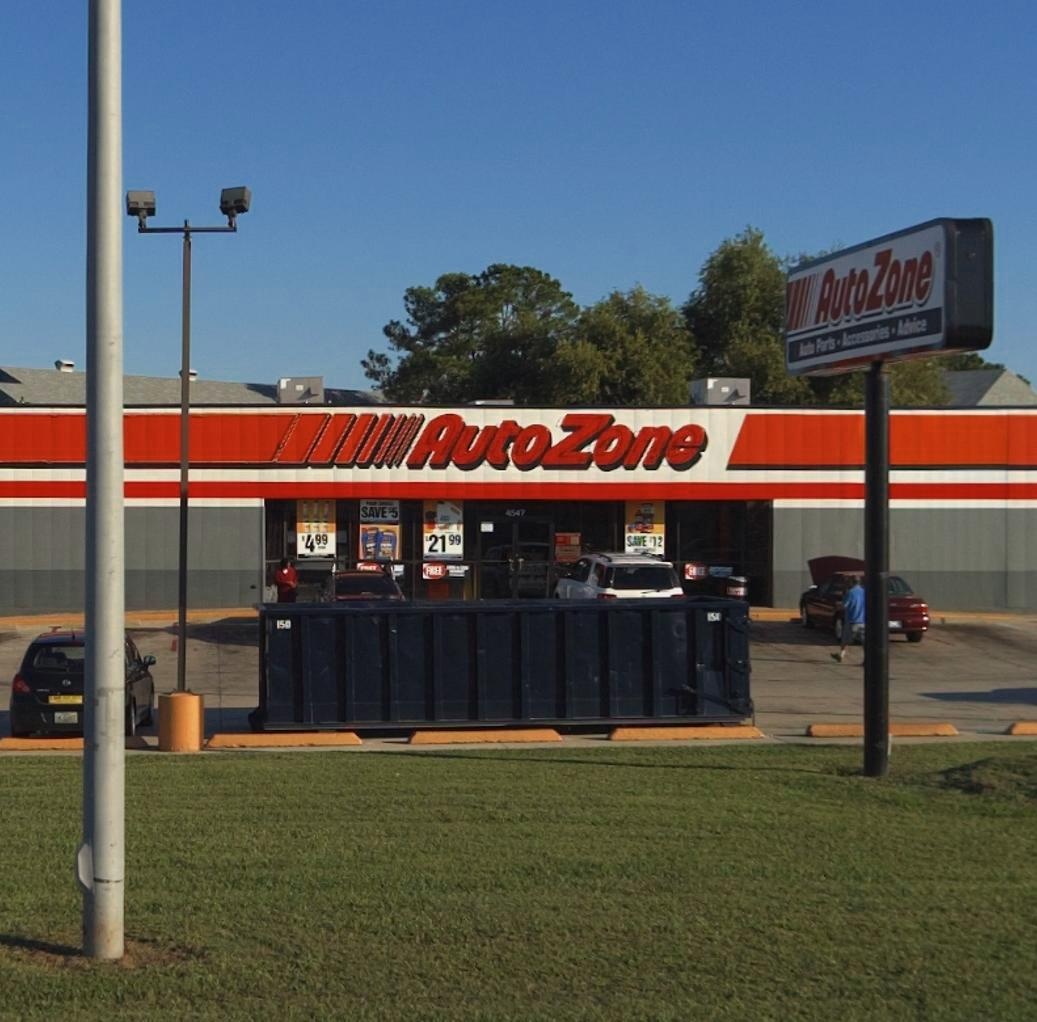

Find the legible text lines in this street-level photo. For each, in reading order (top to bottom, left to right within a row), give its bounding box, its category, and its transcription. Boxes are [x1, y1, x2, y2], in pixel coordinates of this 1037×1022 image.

[807, 242, 940, 336] BusinessName: AutoZone
[796, 312, 934, 362] None: Auto Parts*Acessories*Advice
[390, 410, 724, 475] BusinessName: AutpZone
[359, 503, 401, 524] None: SAVE *5
[502, 507, 529, 521] StreetNumber: 4547
[302, 531, 331, 556] None: 499
[424, 533, 461, 557] None: 2199
[625, 533, 664, 550] None: SAVE *12
[424, 565, 444, 576] None: FREE
[273, 617, 294, 634] None: 150
[703, 608, 723, 625] None: 150